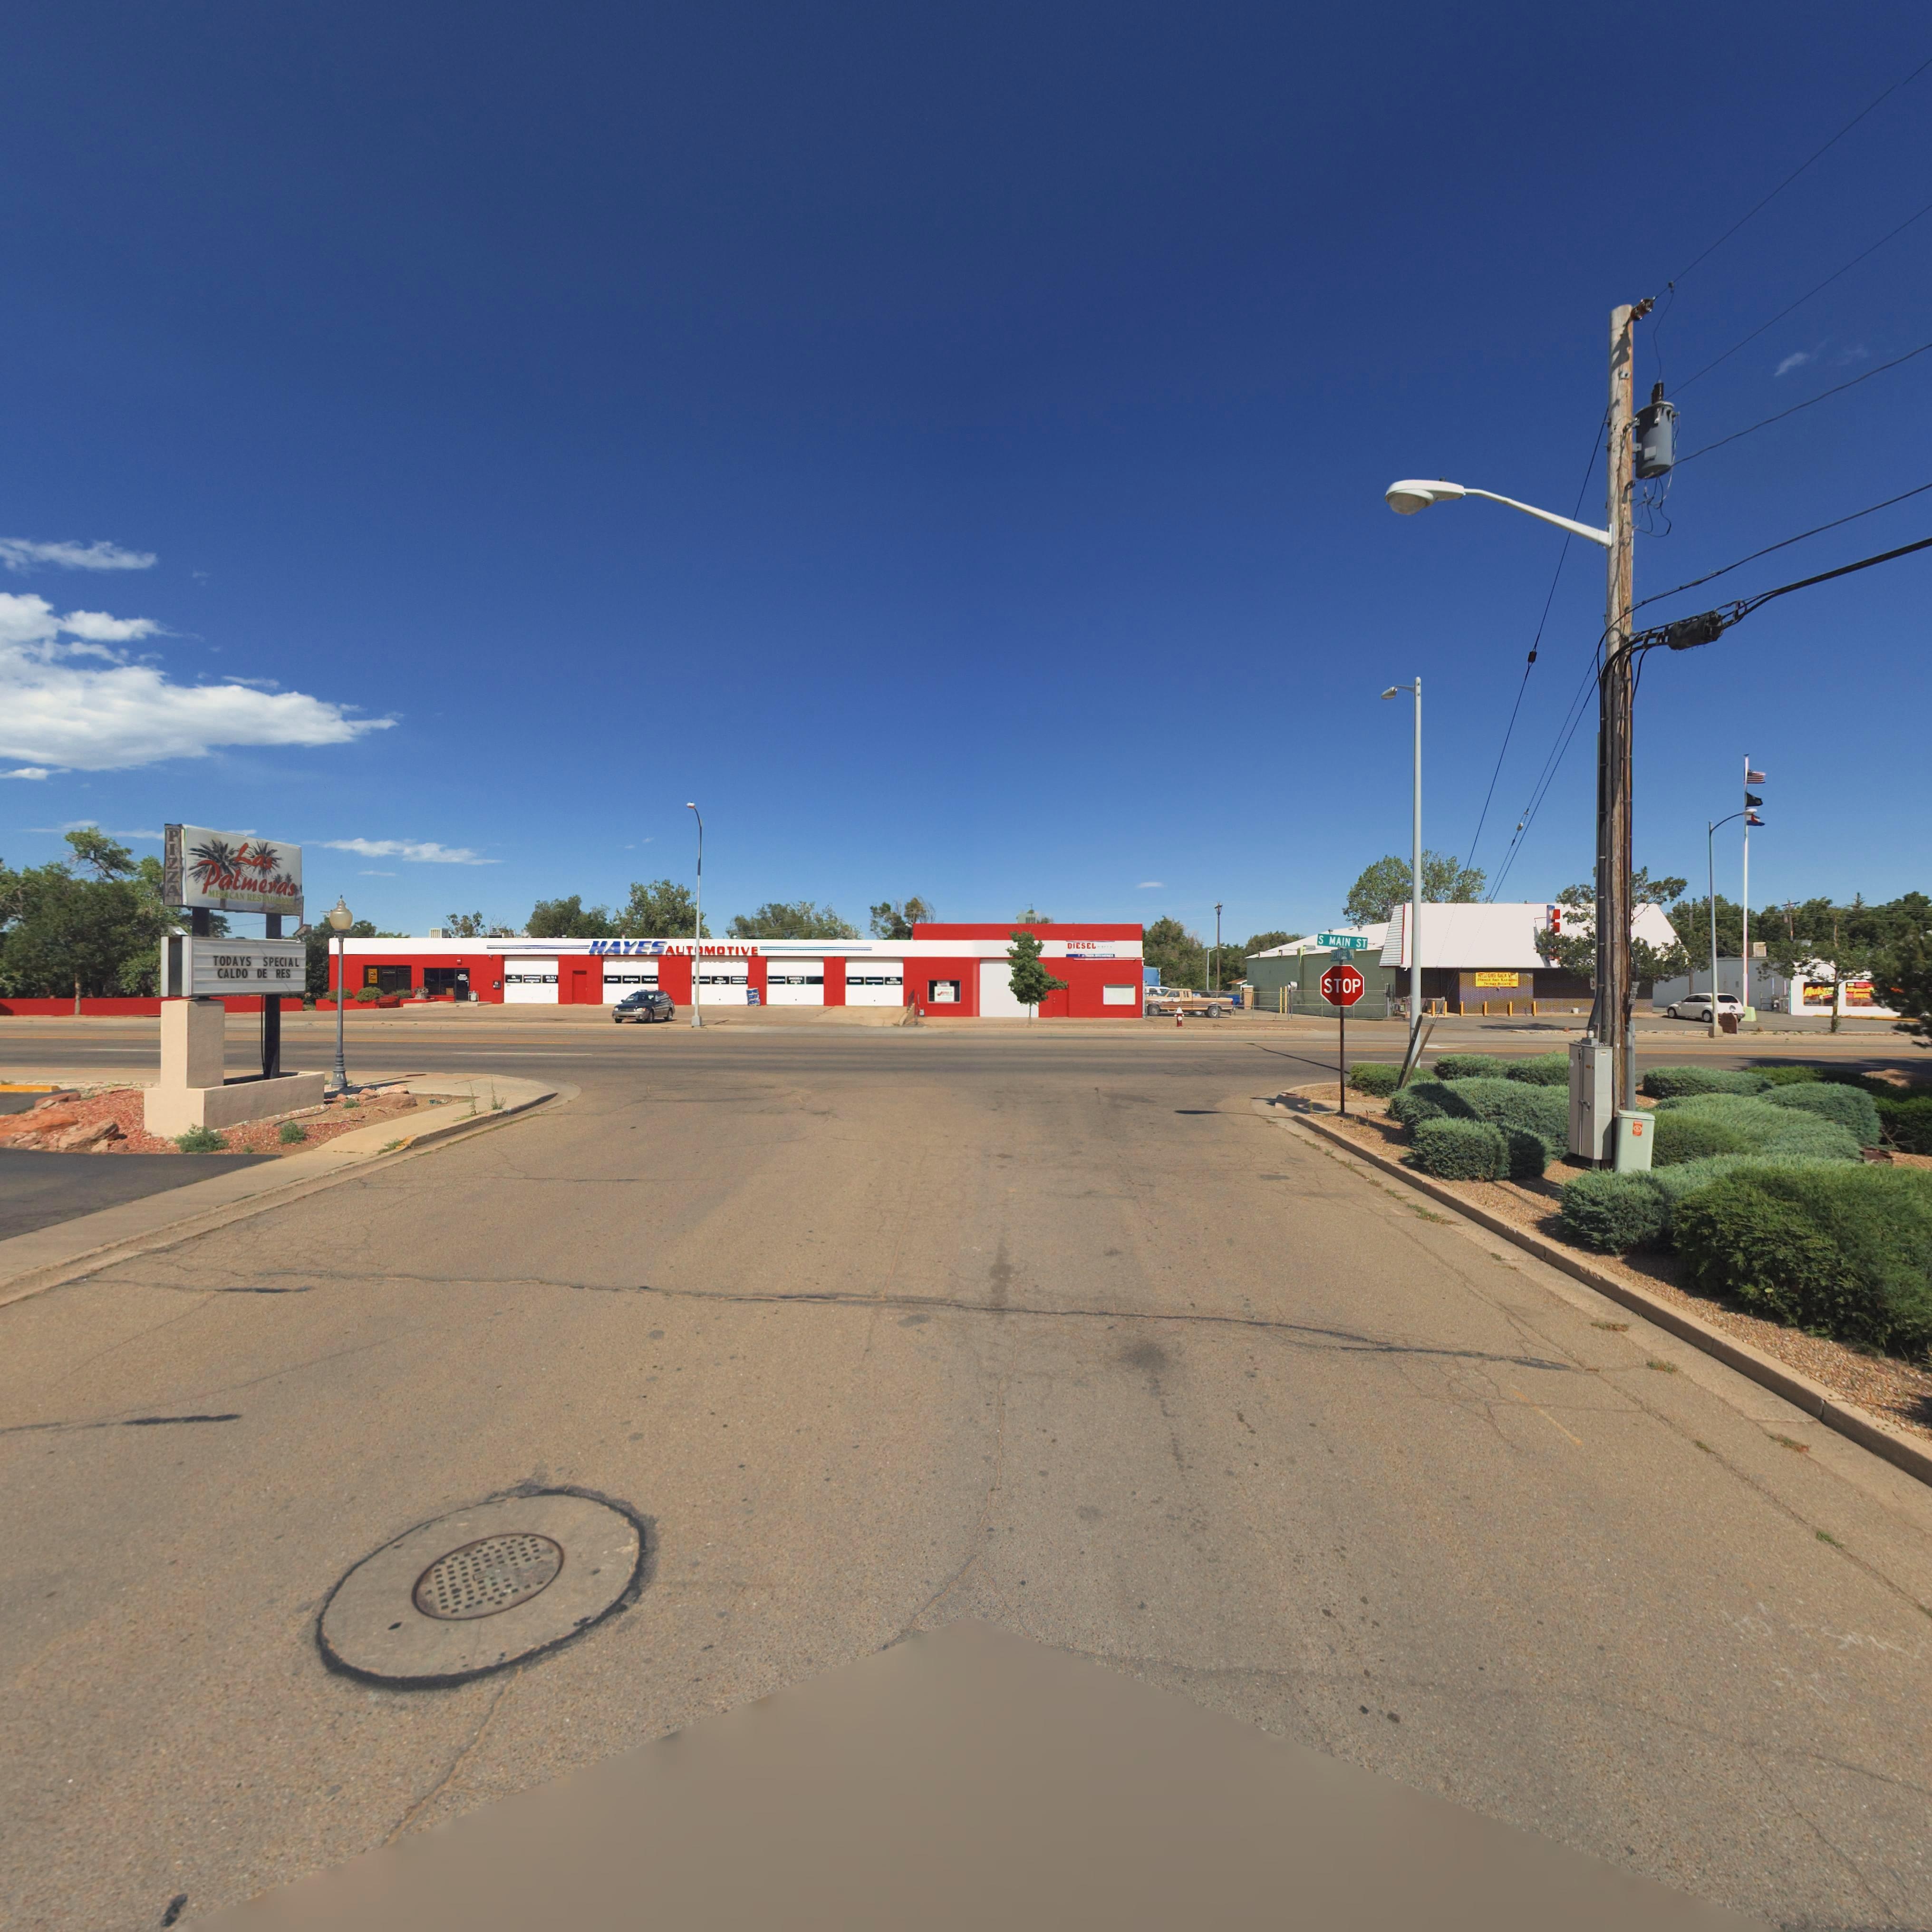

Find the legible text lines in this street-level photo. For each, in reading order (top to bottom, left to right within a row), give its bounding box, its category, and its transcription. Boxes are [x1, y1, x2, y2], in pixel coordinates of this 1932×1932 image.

[232, 841, 273, 870] BusinessName: Las
[197, 858, 296, 897] BusinessName: Palmeras
[587, 940, 667, 955] BusinessName: HAYES
[664, 945, 759, 955] BusinessName: AUT*MOTIVE
[1317, 935, 1367, 948] StreetName: S MAIN ST
[1330, 949, 1355, 960] StreetName: *EL****E *V